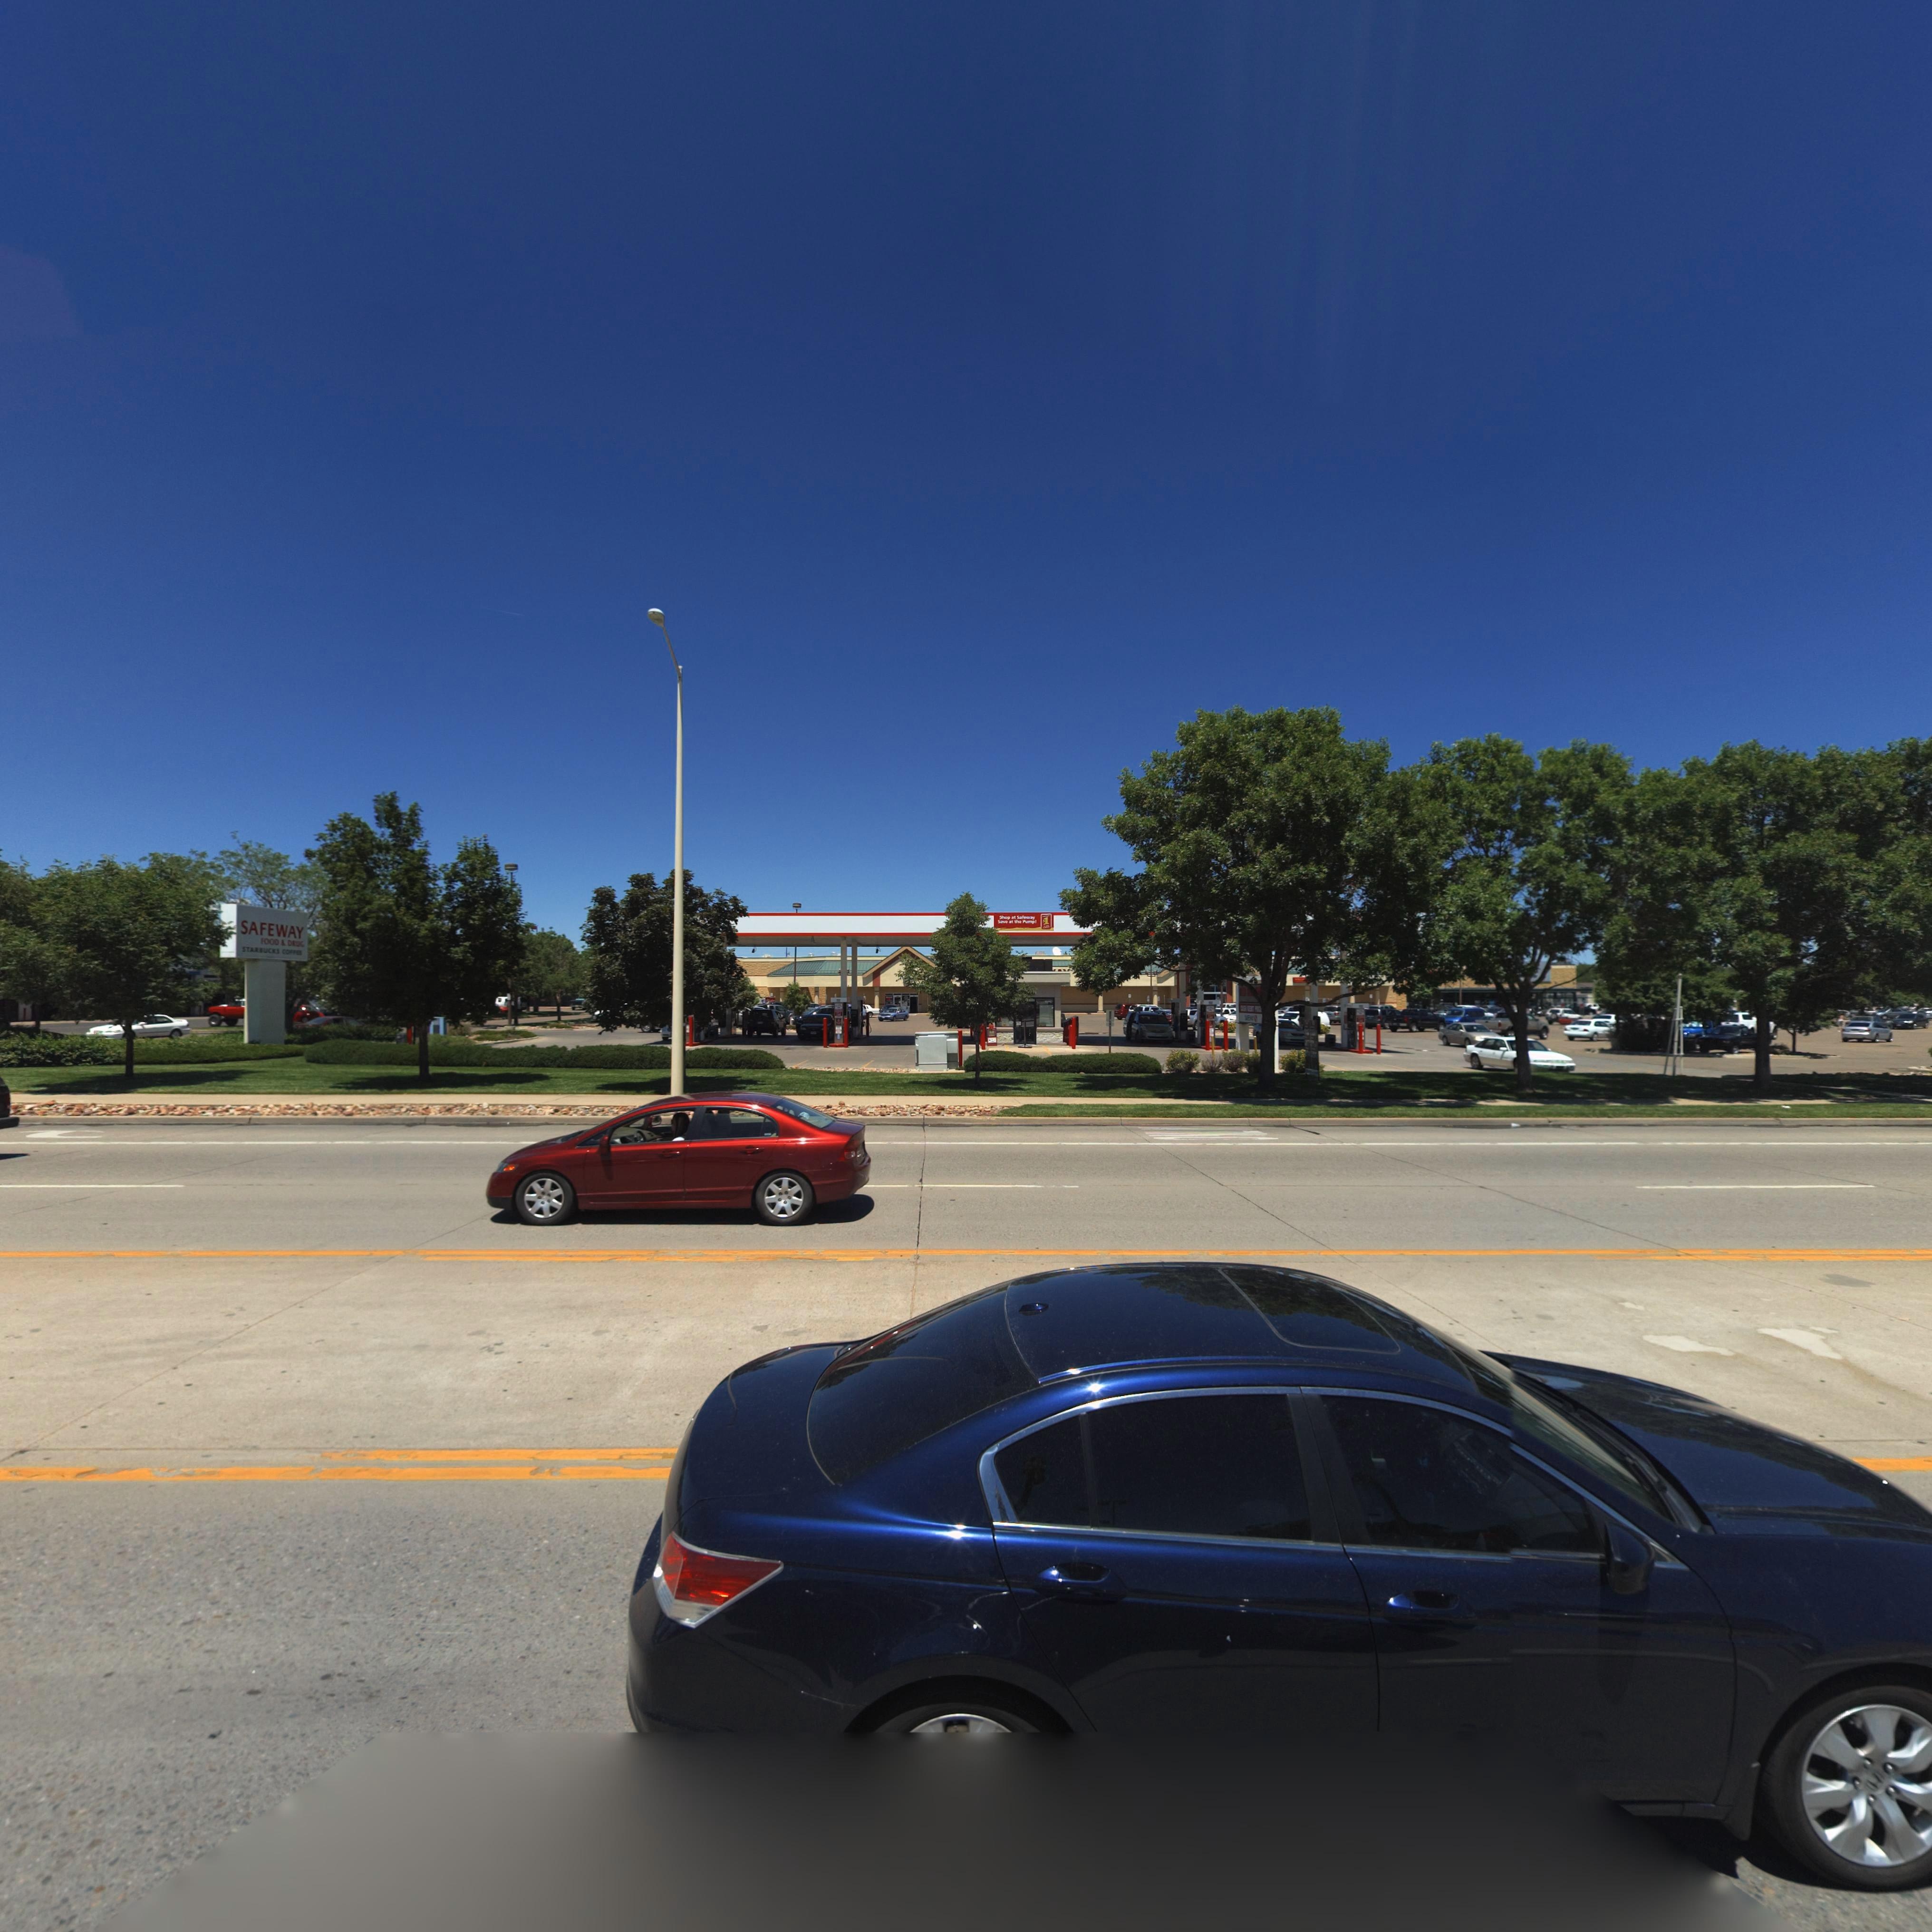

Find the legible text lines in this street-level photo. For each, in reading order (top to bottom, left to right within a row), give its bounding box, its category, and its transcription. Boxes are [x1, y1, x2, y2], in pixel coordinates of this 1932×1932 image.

[240, 919, 305, 939] BusinessName: SAFEWAY
[261, 937, 305, 947] BusinessName: FOOD & DRUG
[241, 946, 302, 956] BusinessName: STARBUCKS COFFEE